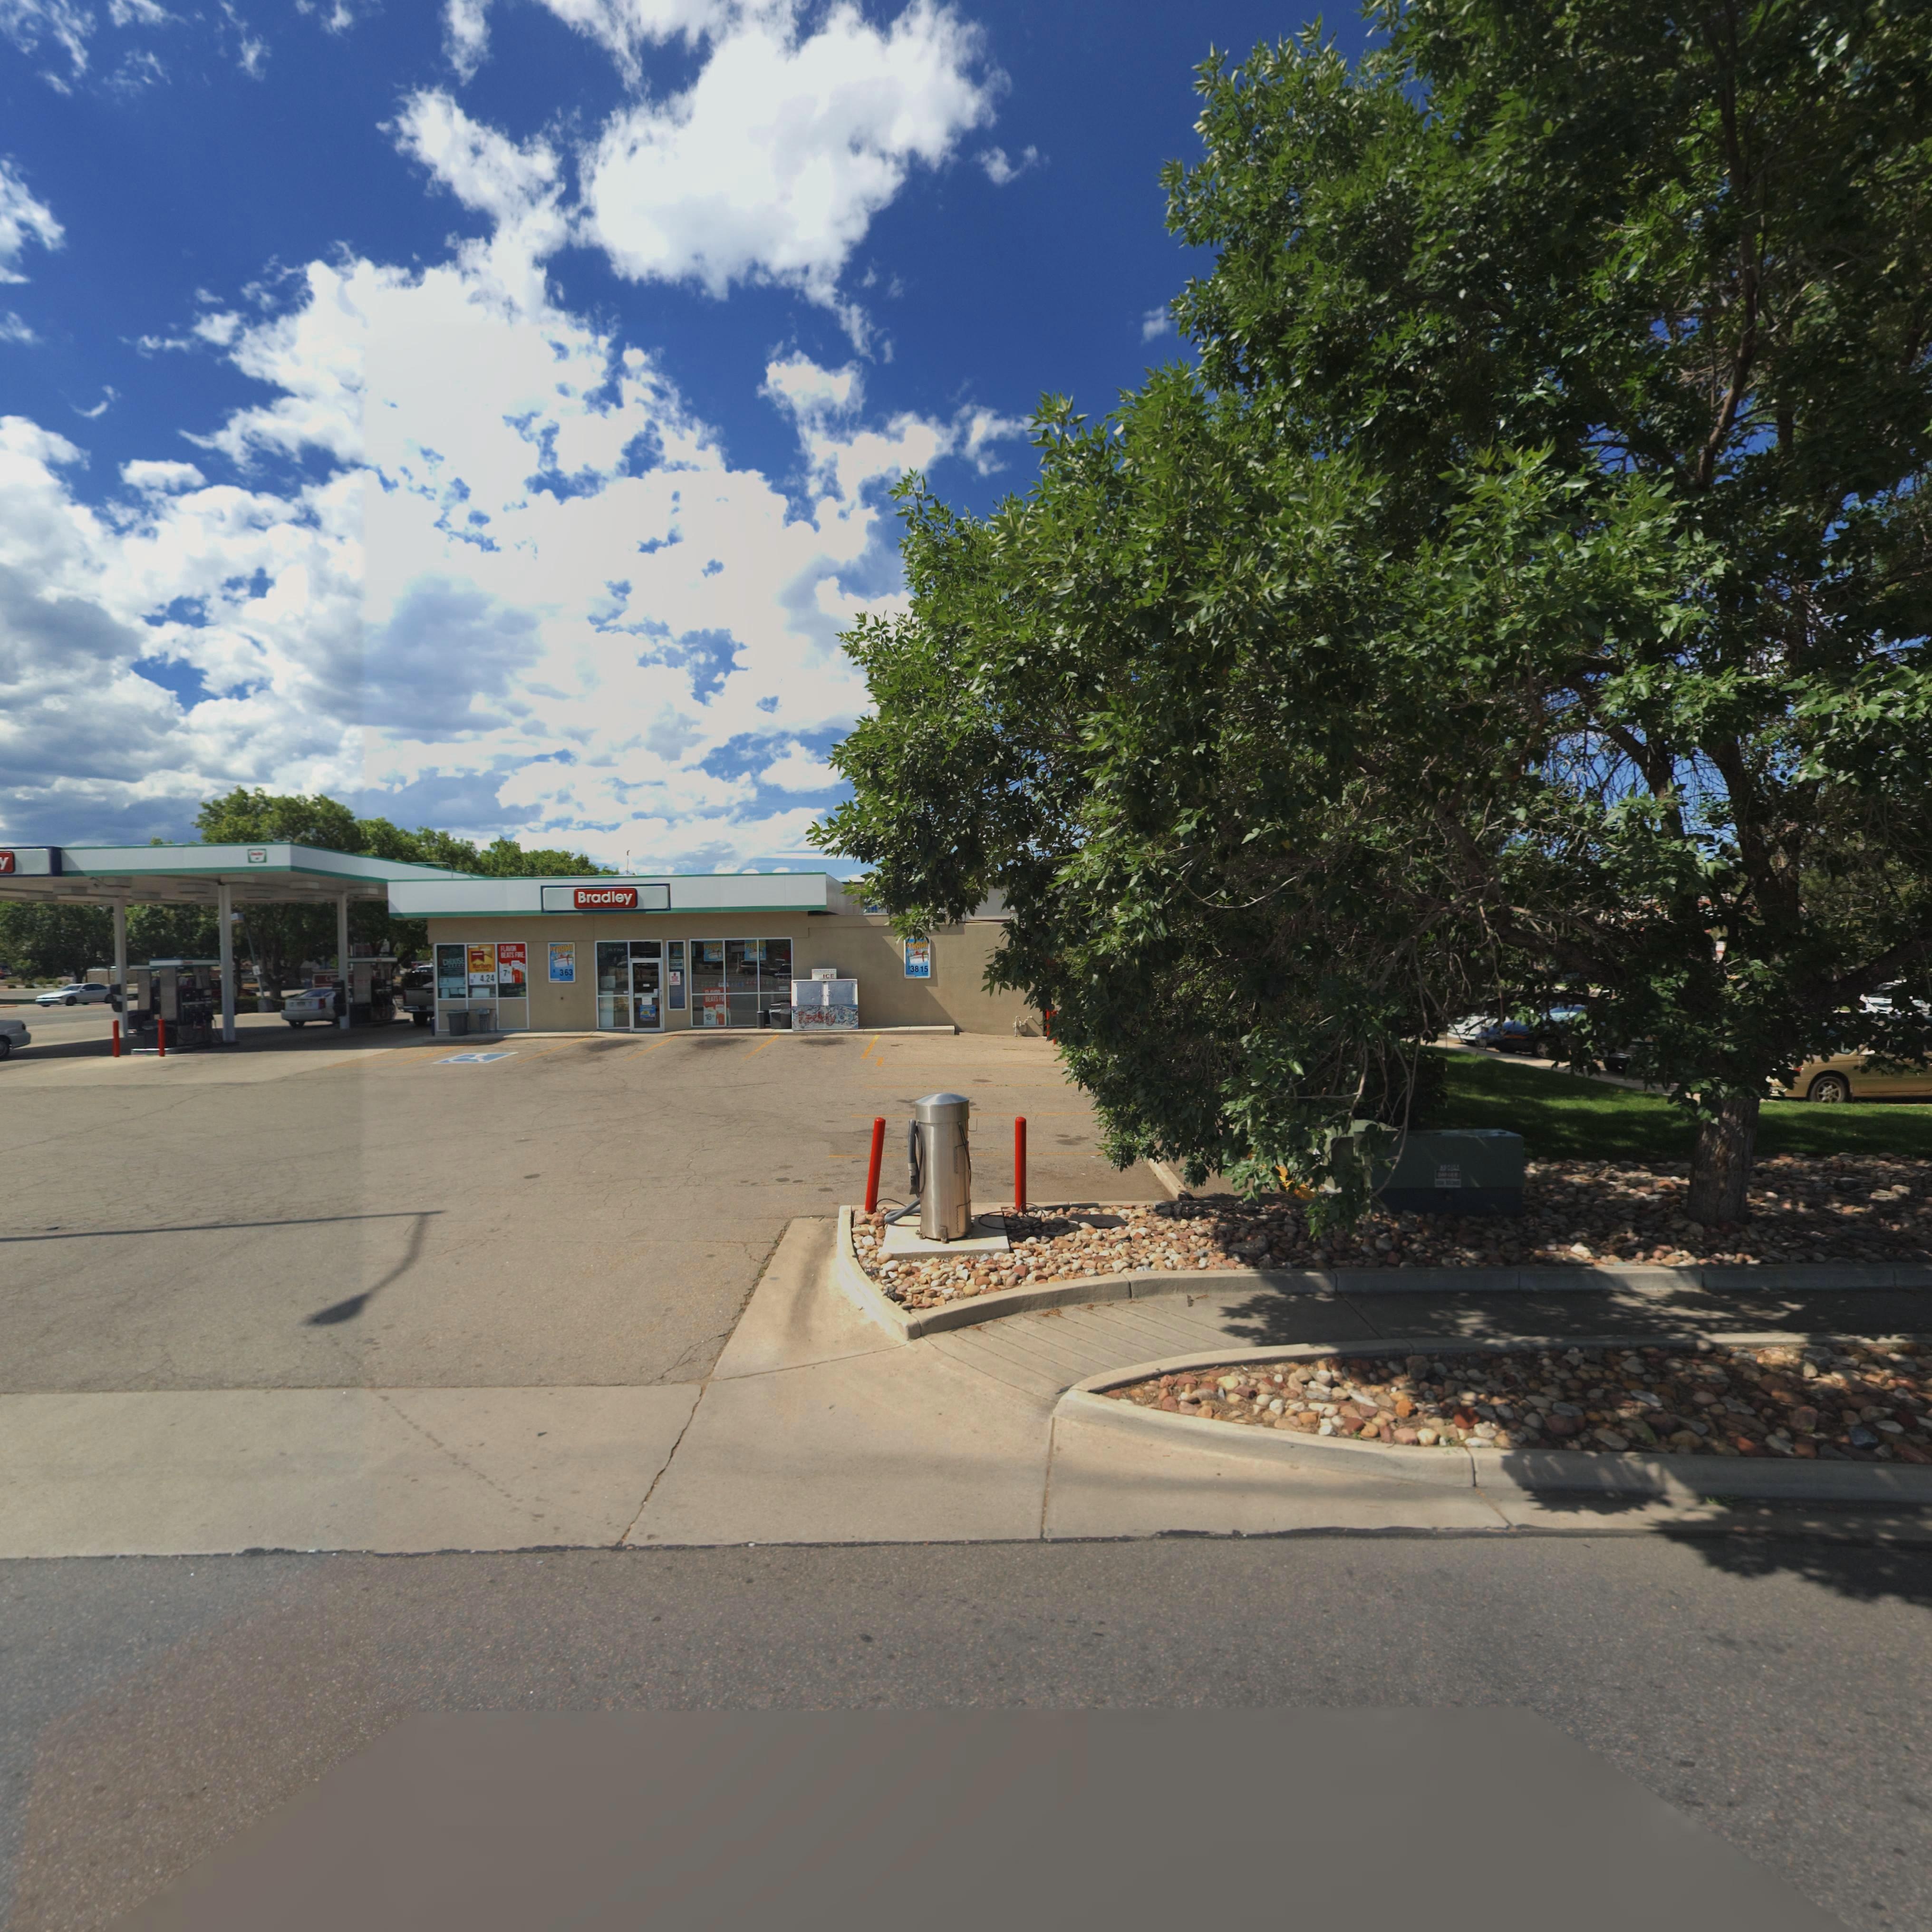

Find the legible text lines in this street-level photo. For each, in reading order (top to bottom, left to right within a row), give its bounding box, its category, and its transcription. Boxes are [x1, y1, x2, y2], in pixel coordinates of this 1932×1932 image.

[577, 890, 634, 906] BusinessName: Bradley